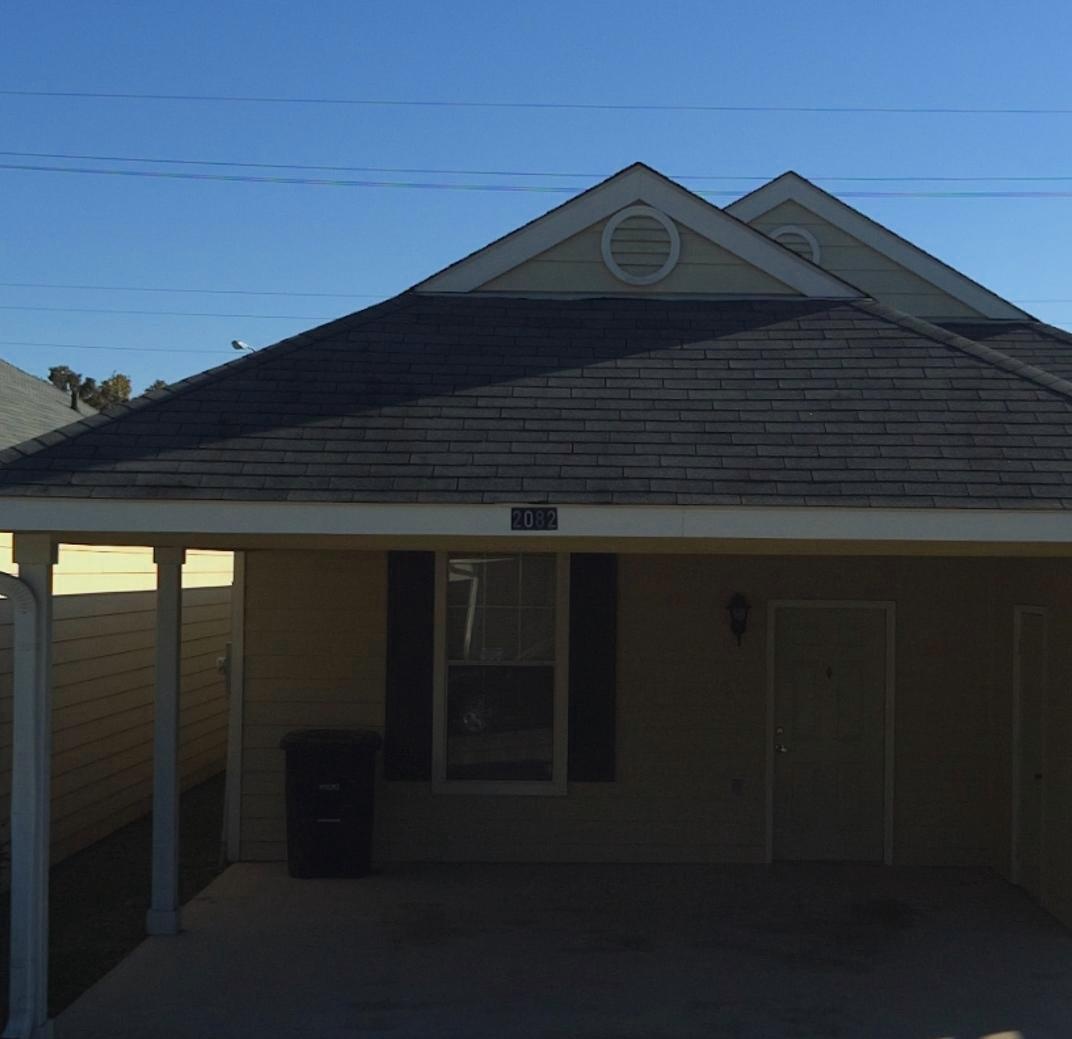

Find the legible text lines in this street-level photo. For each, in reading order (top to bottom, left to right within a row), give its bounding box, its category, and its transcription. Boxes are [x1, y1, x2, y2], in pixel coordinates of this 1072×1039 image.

[513, 509, 557, 529] StreetNumber: 2082